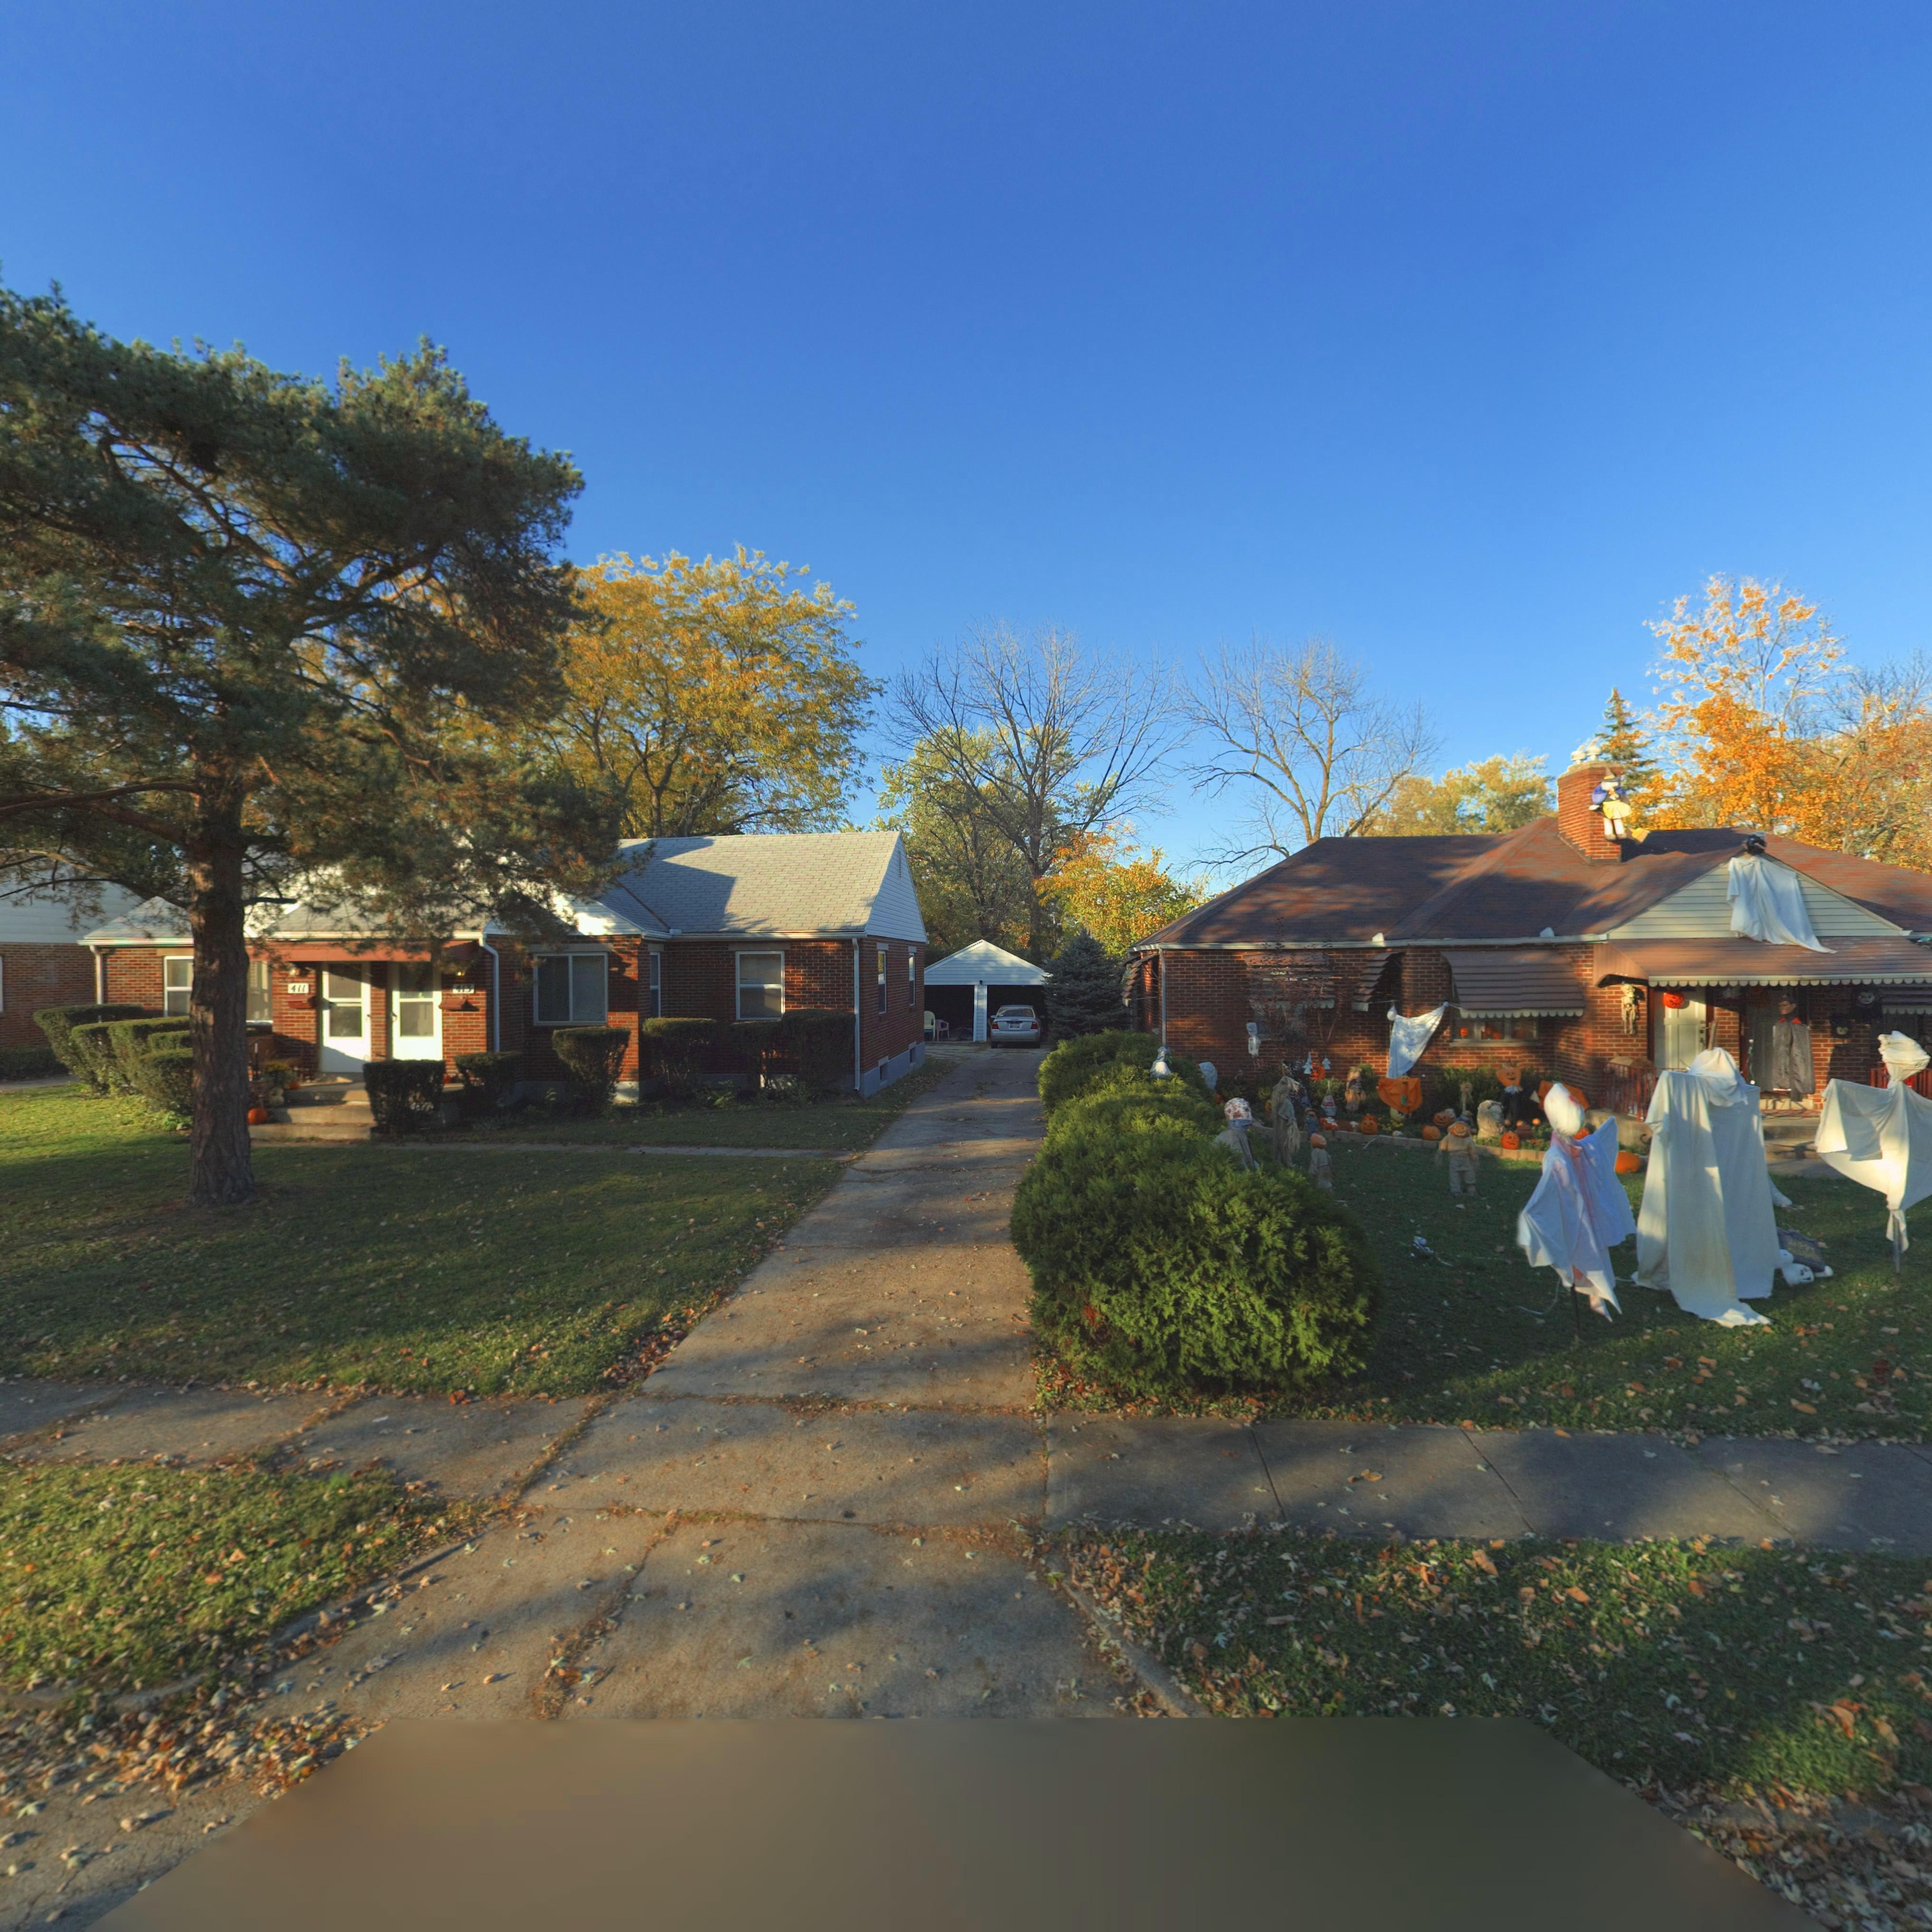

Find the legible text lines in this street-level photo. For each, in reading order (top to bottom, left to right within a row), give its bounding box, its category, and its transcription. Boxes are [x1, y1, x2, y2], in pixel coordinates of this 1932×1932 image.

[290, 984, 307, 994] StreetNumber: 411
[455, 983, 473, 994] StreetNumber: 413